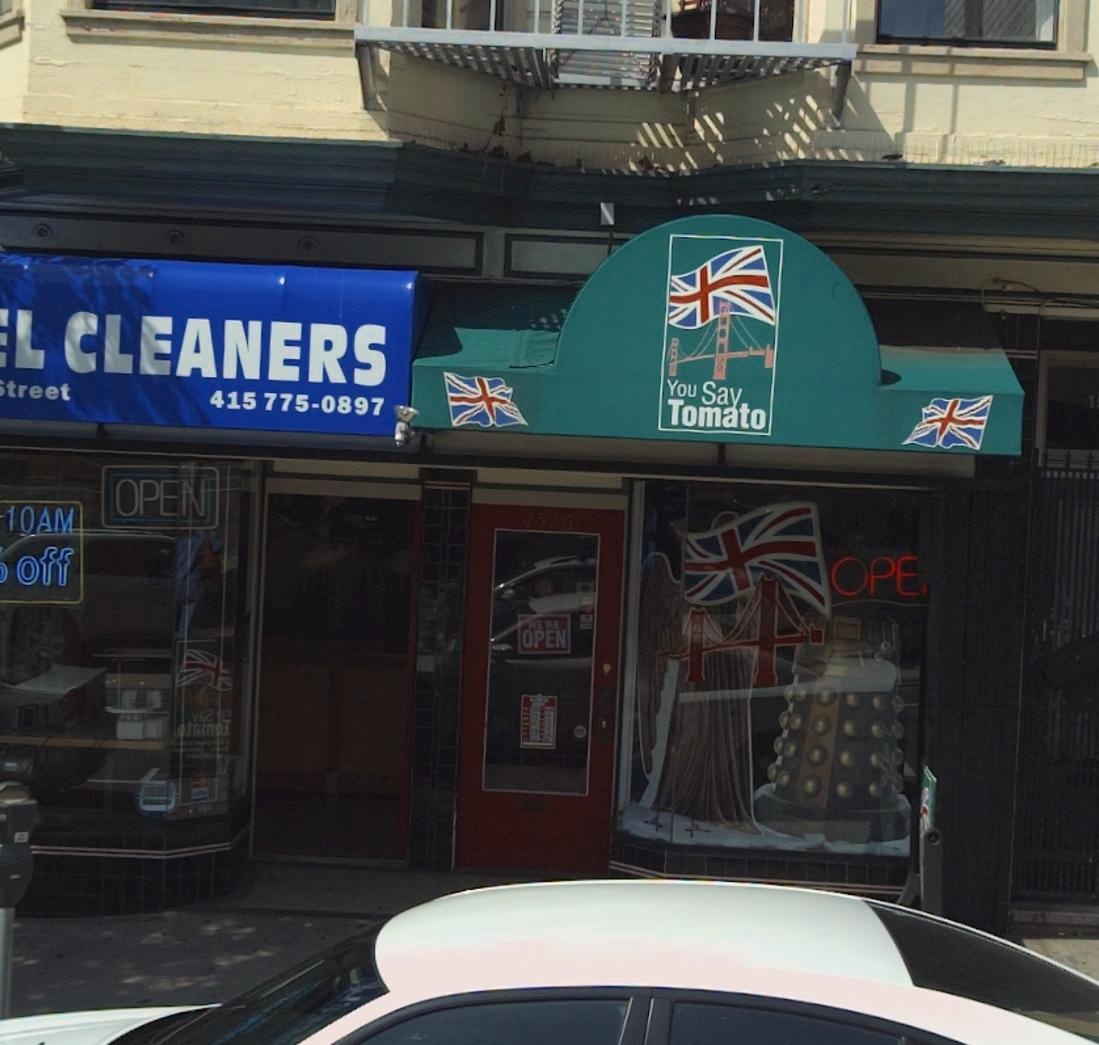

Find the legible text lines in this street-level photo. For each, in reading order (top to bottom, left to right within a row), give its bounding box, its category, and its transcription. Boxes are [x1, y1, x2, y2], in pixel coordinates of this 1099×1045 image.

[14, 308, 389, 389] BusinessName: L CLEANERS
[4, 379, 73, 403] StreetName: treet
[208, 389, 387, 418] None: 415 775-0897
[665, 377, 746, 408] BusinessName: You Say
[666, 398, 768, 432] BusinessName: Tomato
[114, 477, 207, 518] None: OPEN
[6, 505, 75, 535] None: 10AM
[523, 510, 576, 531] StreetNumber: 1526
[14, 544, 77, 588] None: off
[828, 553, 921, 598] None: OPE
[526, 618, 561, 630] None: WE'RE
[521, 628, 567, 649] None: OPEN
[150, 787, 165, 797] None: 59